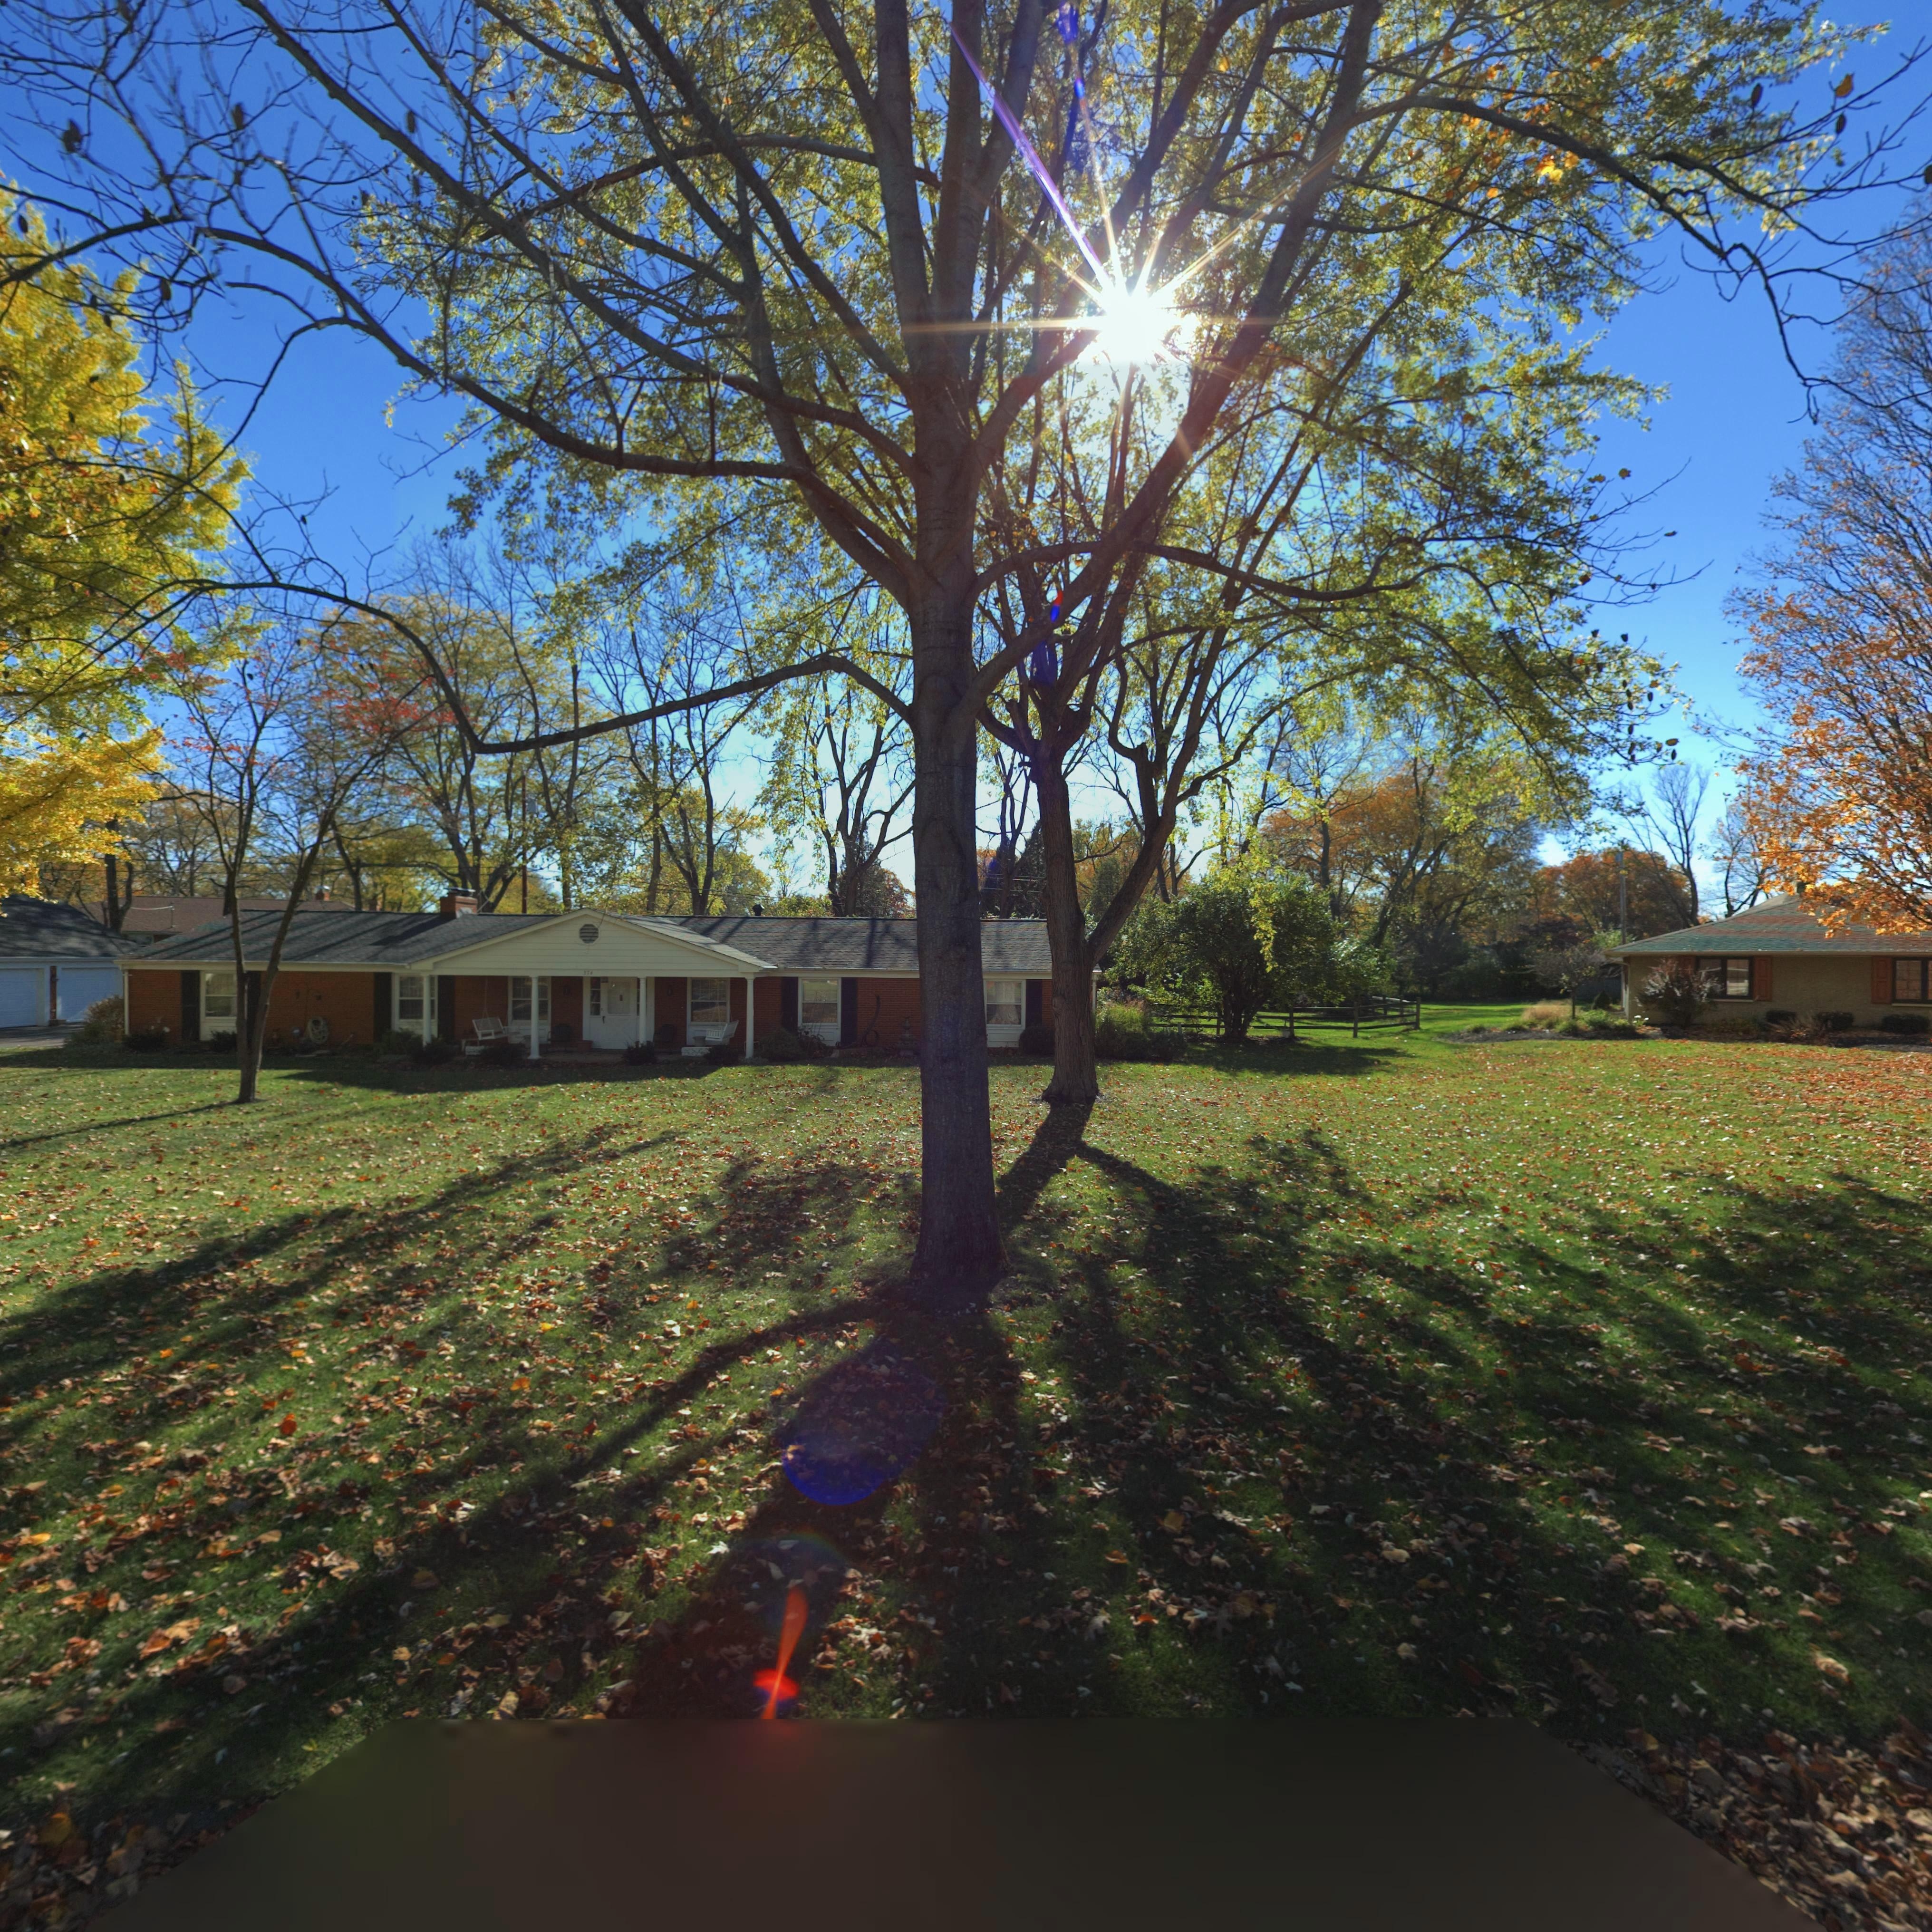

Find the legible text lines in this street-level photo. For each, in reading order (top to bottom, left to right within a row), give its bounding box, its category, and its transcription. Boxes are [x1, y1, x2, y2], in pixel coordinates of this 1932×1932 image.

[582, 970, 593, 976] StreetNumber: 374